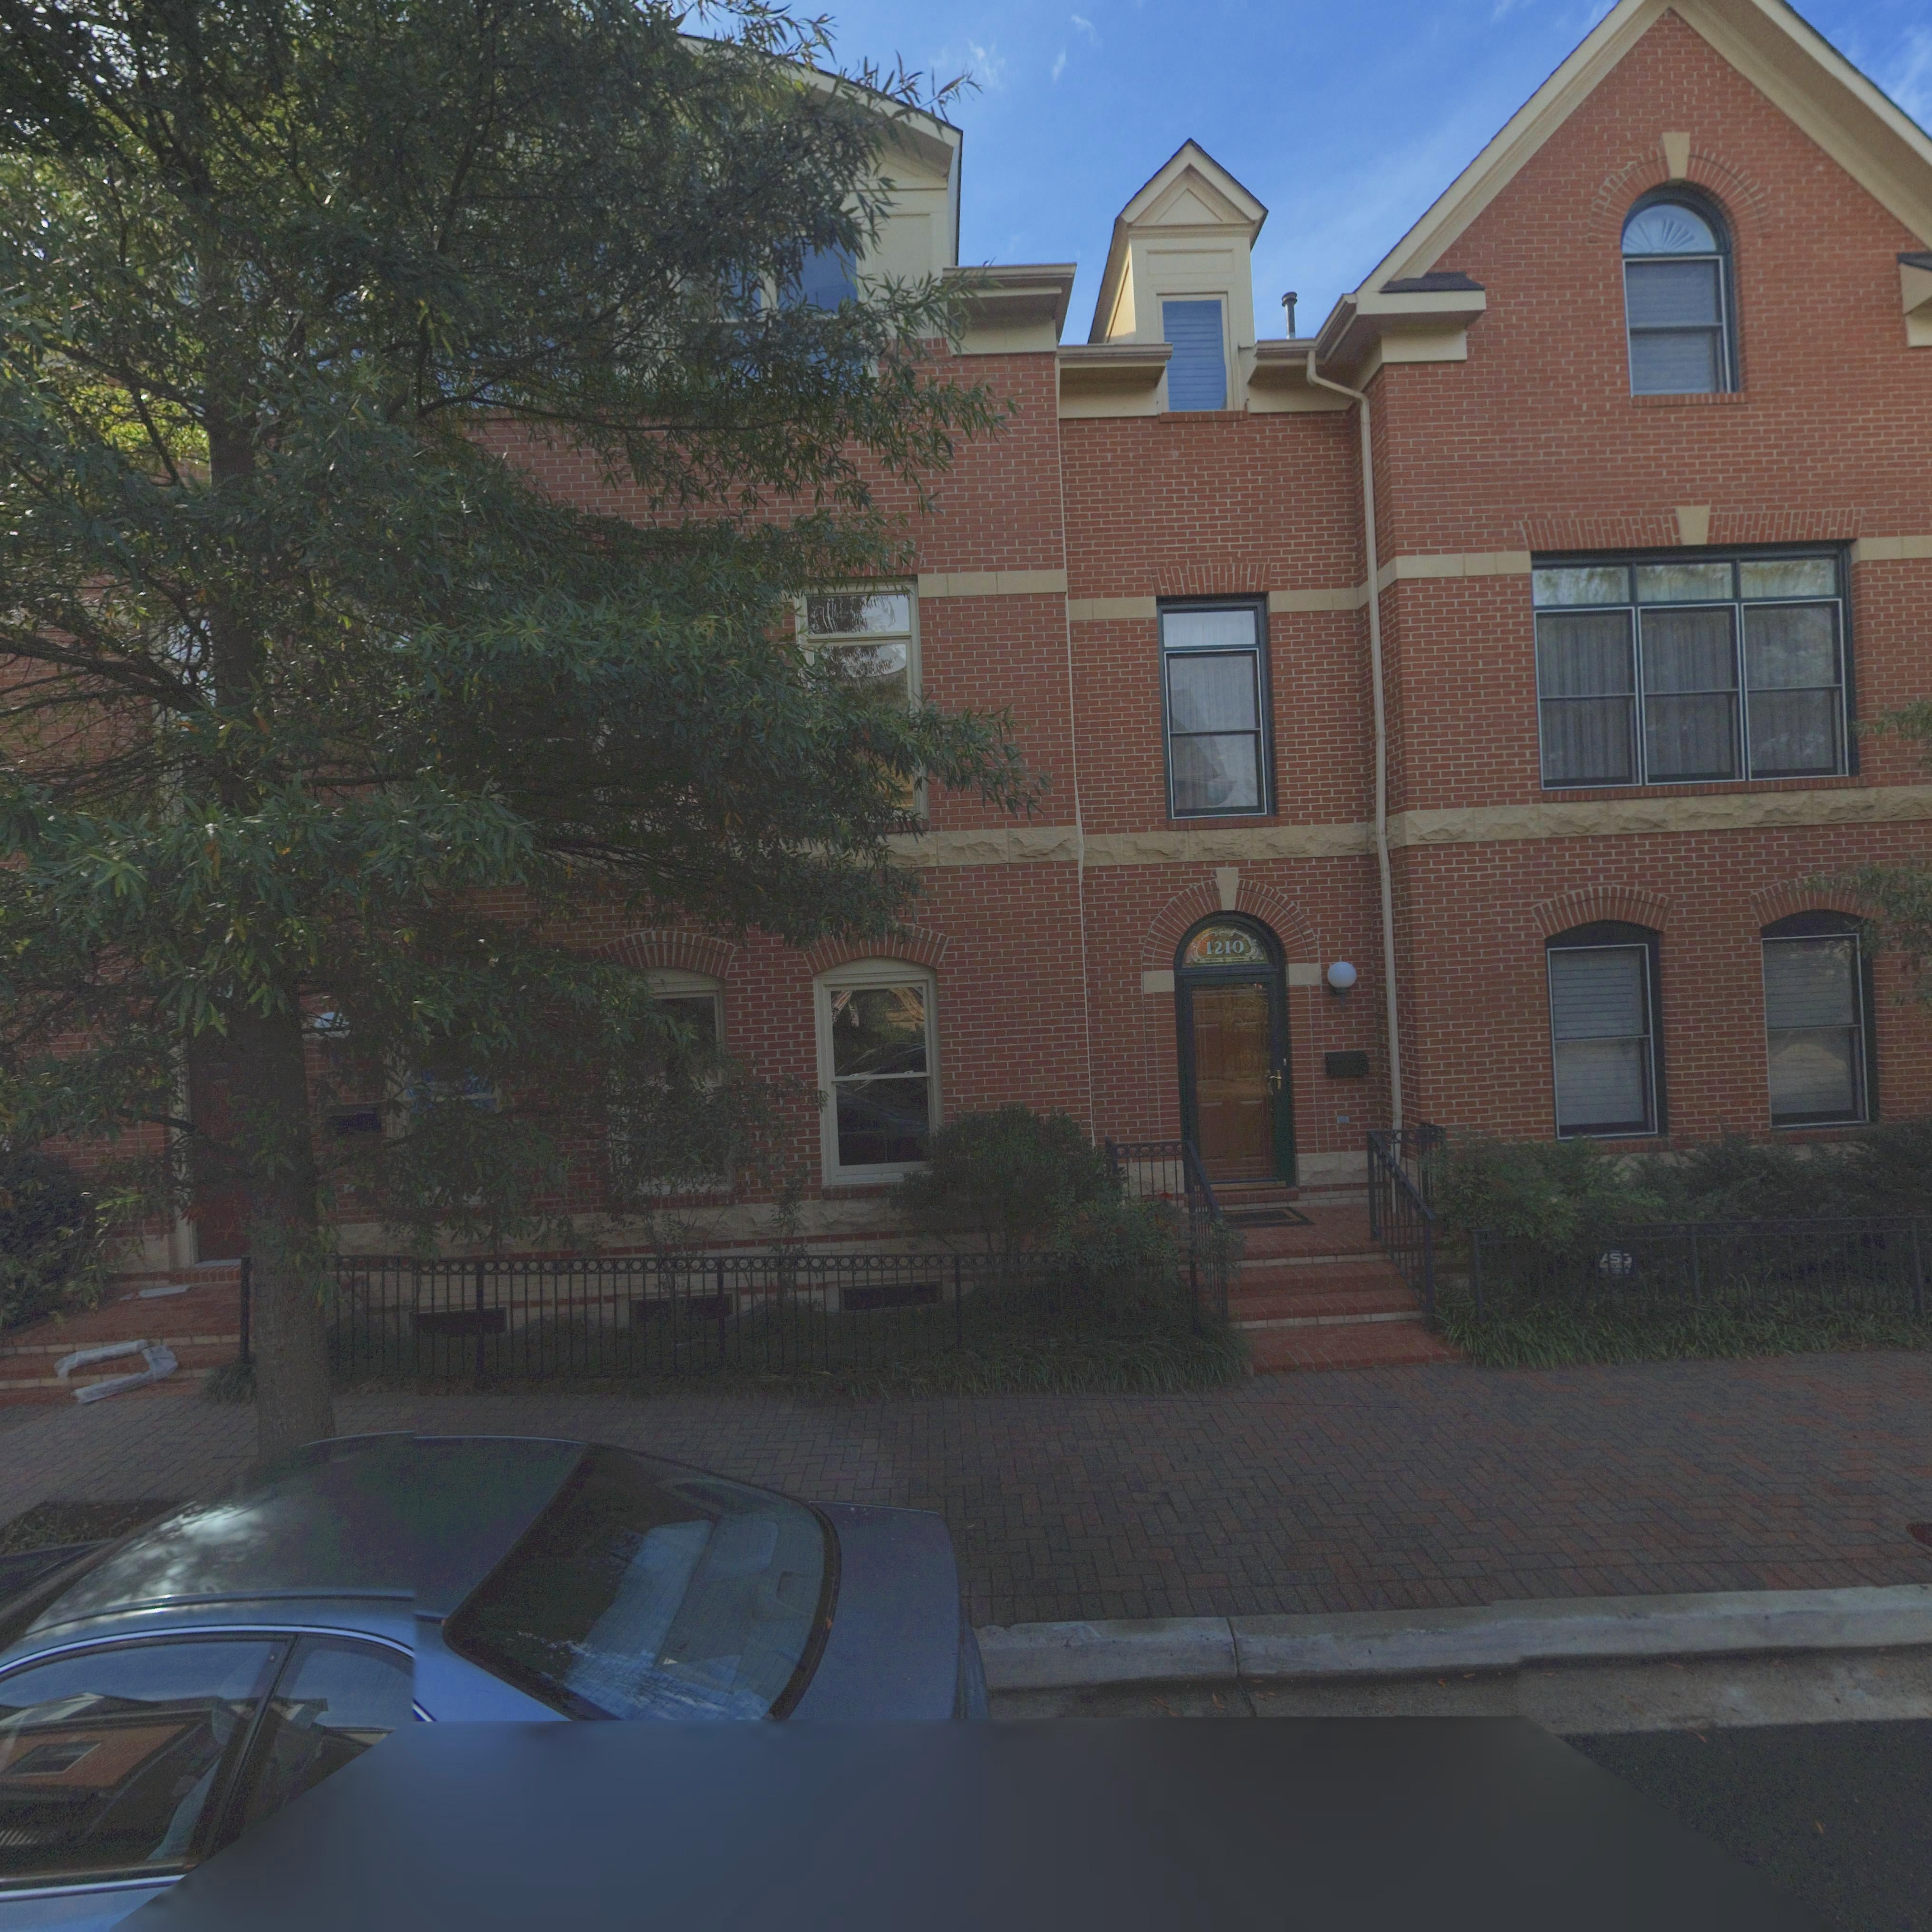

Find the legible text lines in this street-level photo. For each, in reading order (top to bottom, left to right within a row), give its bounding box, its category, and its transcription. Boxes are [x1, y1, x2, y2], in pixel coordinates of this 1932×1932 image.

[1206, 939, 1245, 956] None: 1210